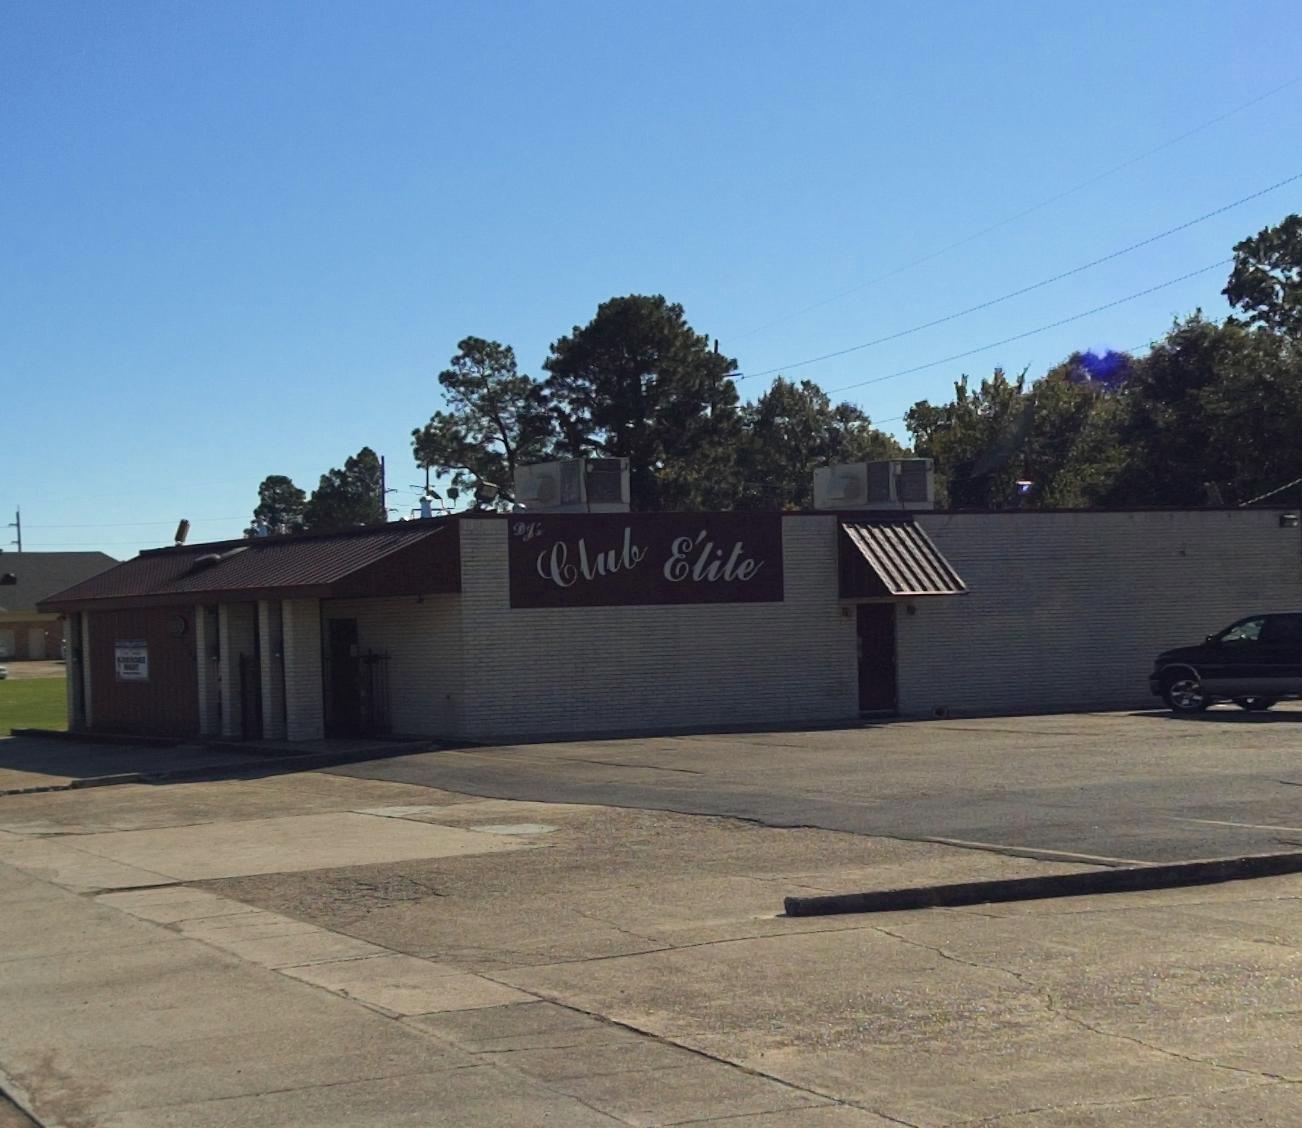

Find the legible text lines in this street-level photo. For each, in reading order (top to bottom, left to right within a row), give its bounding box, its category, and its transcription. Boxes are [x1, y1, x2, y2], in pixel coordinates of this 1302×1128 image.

[510, 519, 546, 545] BusinessName: DJ's
[548, 524, 771, 592] BusinessName: Club E'lite